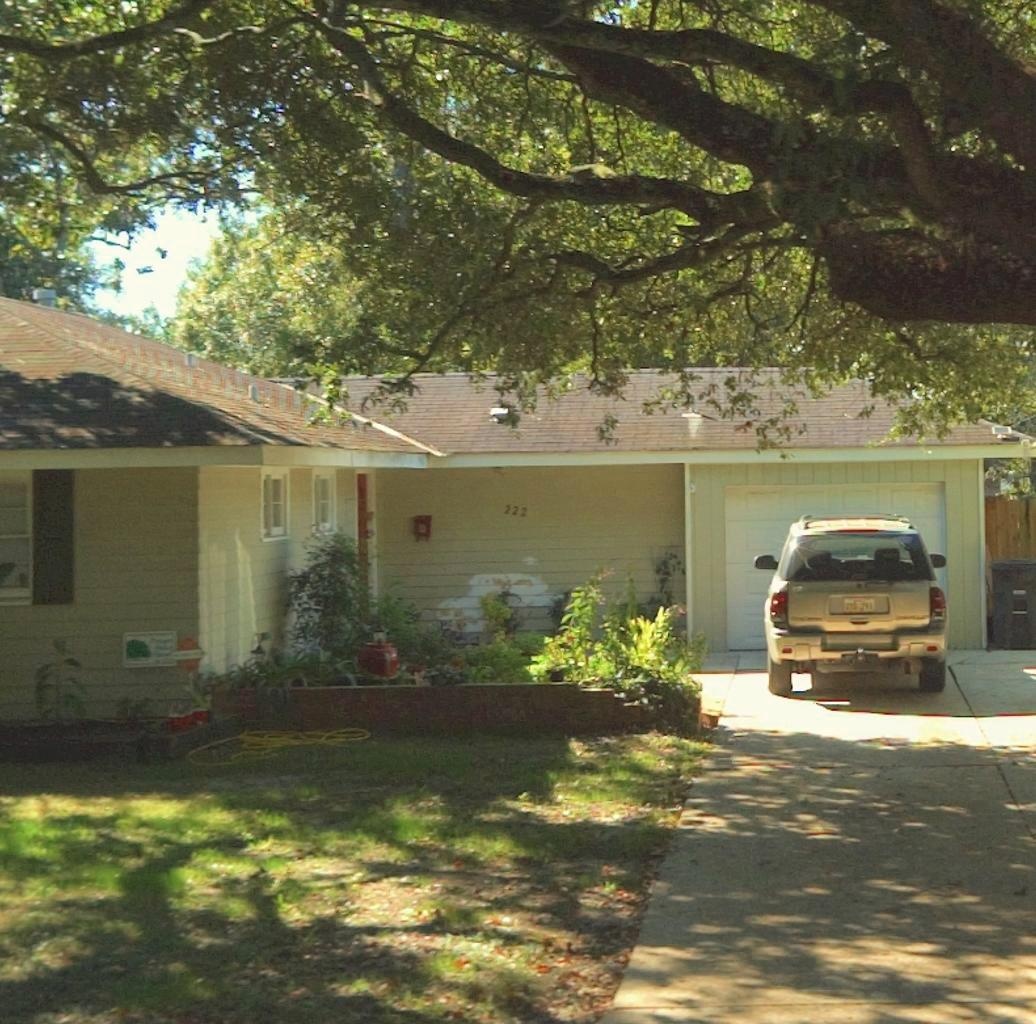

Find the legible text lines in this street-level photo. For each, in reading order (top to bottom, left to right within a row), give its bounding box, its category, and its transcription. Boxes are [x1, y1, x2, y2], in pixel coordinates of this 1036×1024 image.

[502, 502, 528, 519] StreetNumber: 222